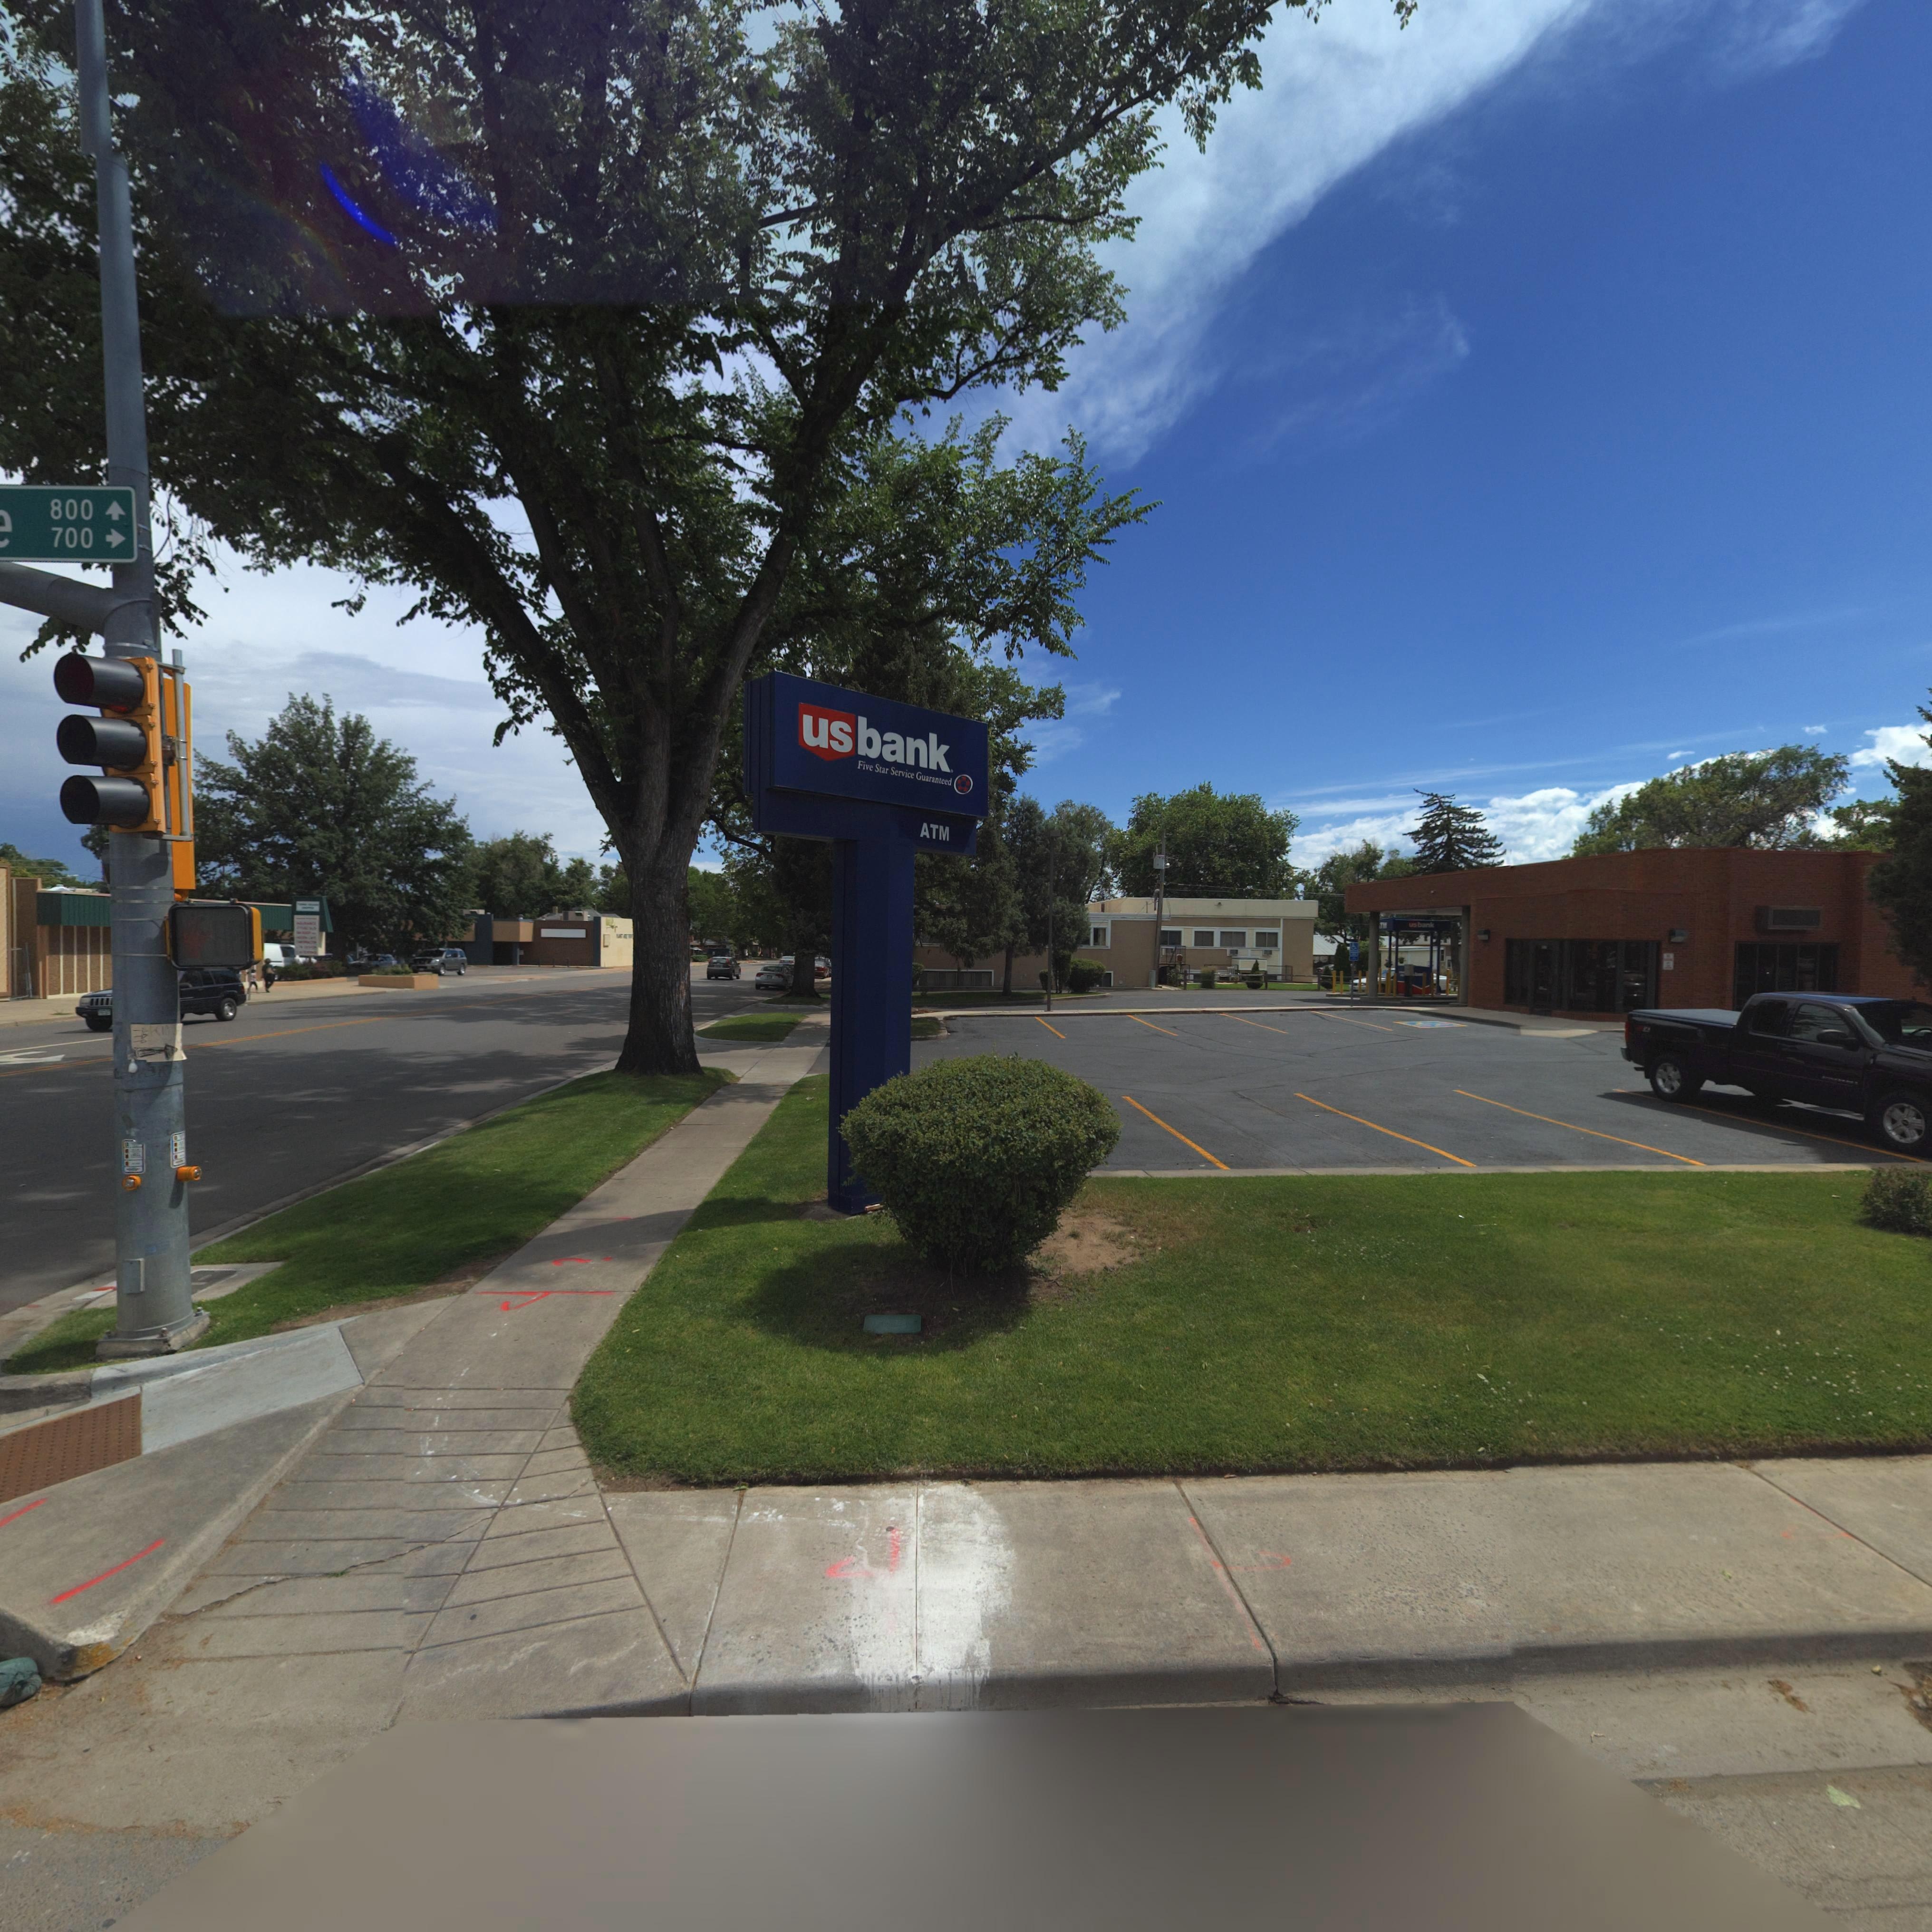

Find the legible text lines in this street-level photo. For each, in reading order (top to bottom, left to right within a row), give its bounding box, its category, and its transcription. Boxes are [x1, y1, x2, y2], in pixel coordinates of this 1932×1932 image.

[50, 499, 94, 520] StreetNumberRange: 800
[49, 527, 126, 549] StreetNumberRange: 700->
[802, 713, 950, 773] BusinessName: usbank
[1408, 922, 1434, 927] BusinessName: usbank